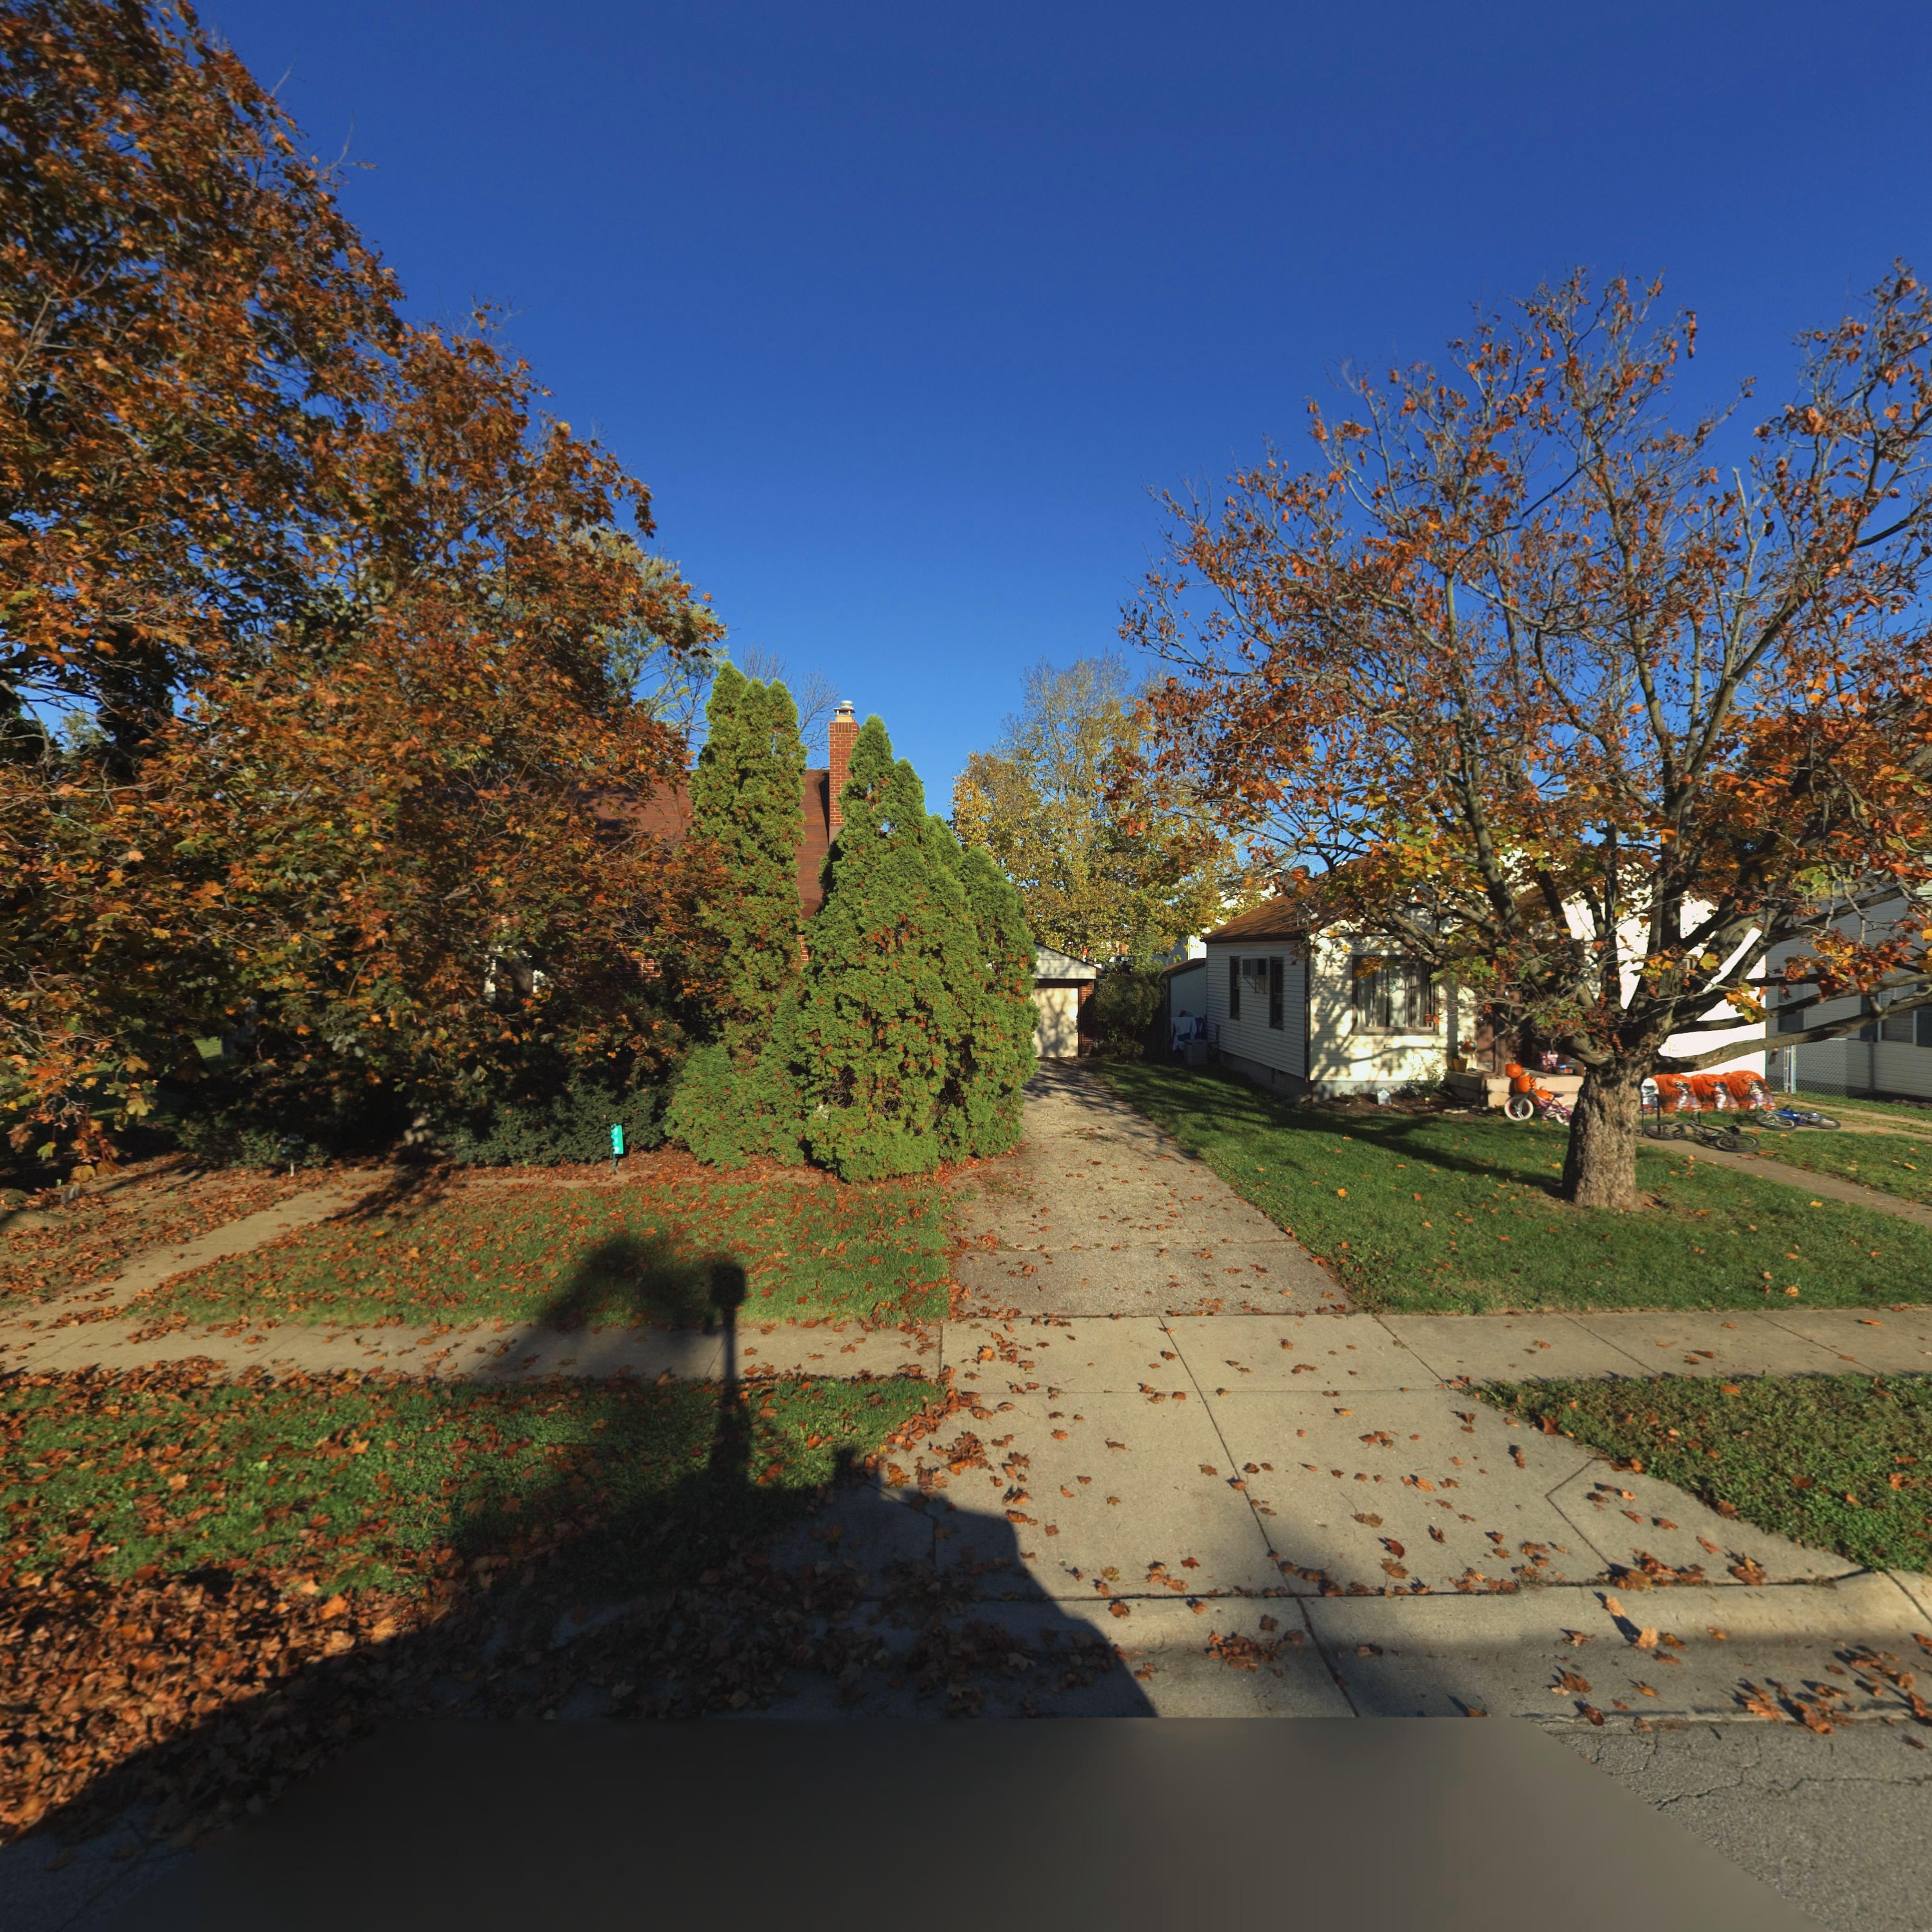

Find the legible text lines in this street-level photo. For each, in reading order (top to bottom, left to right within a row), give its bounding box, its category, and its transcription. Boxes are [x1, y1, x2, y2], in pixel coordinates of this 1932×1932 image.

[612, 1127, 620, 1154] StreetNumber: 7**